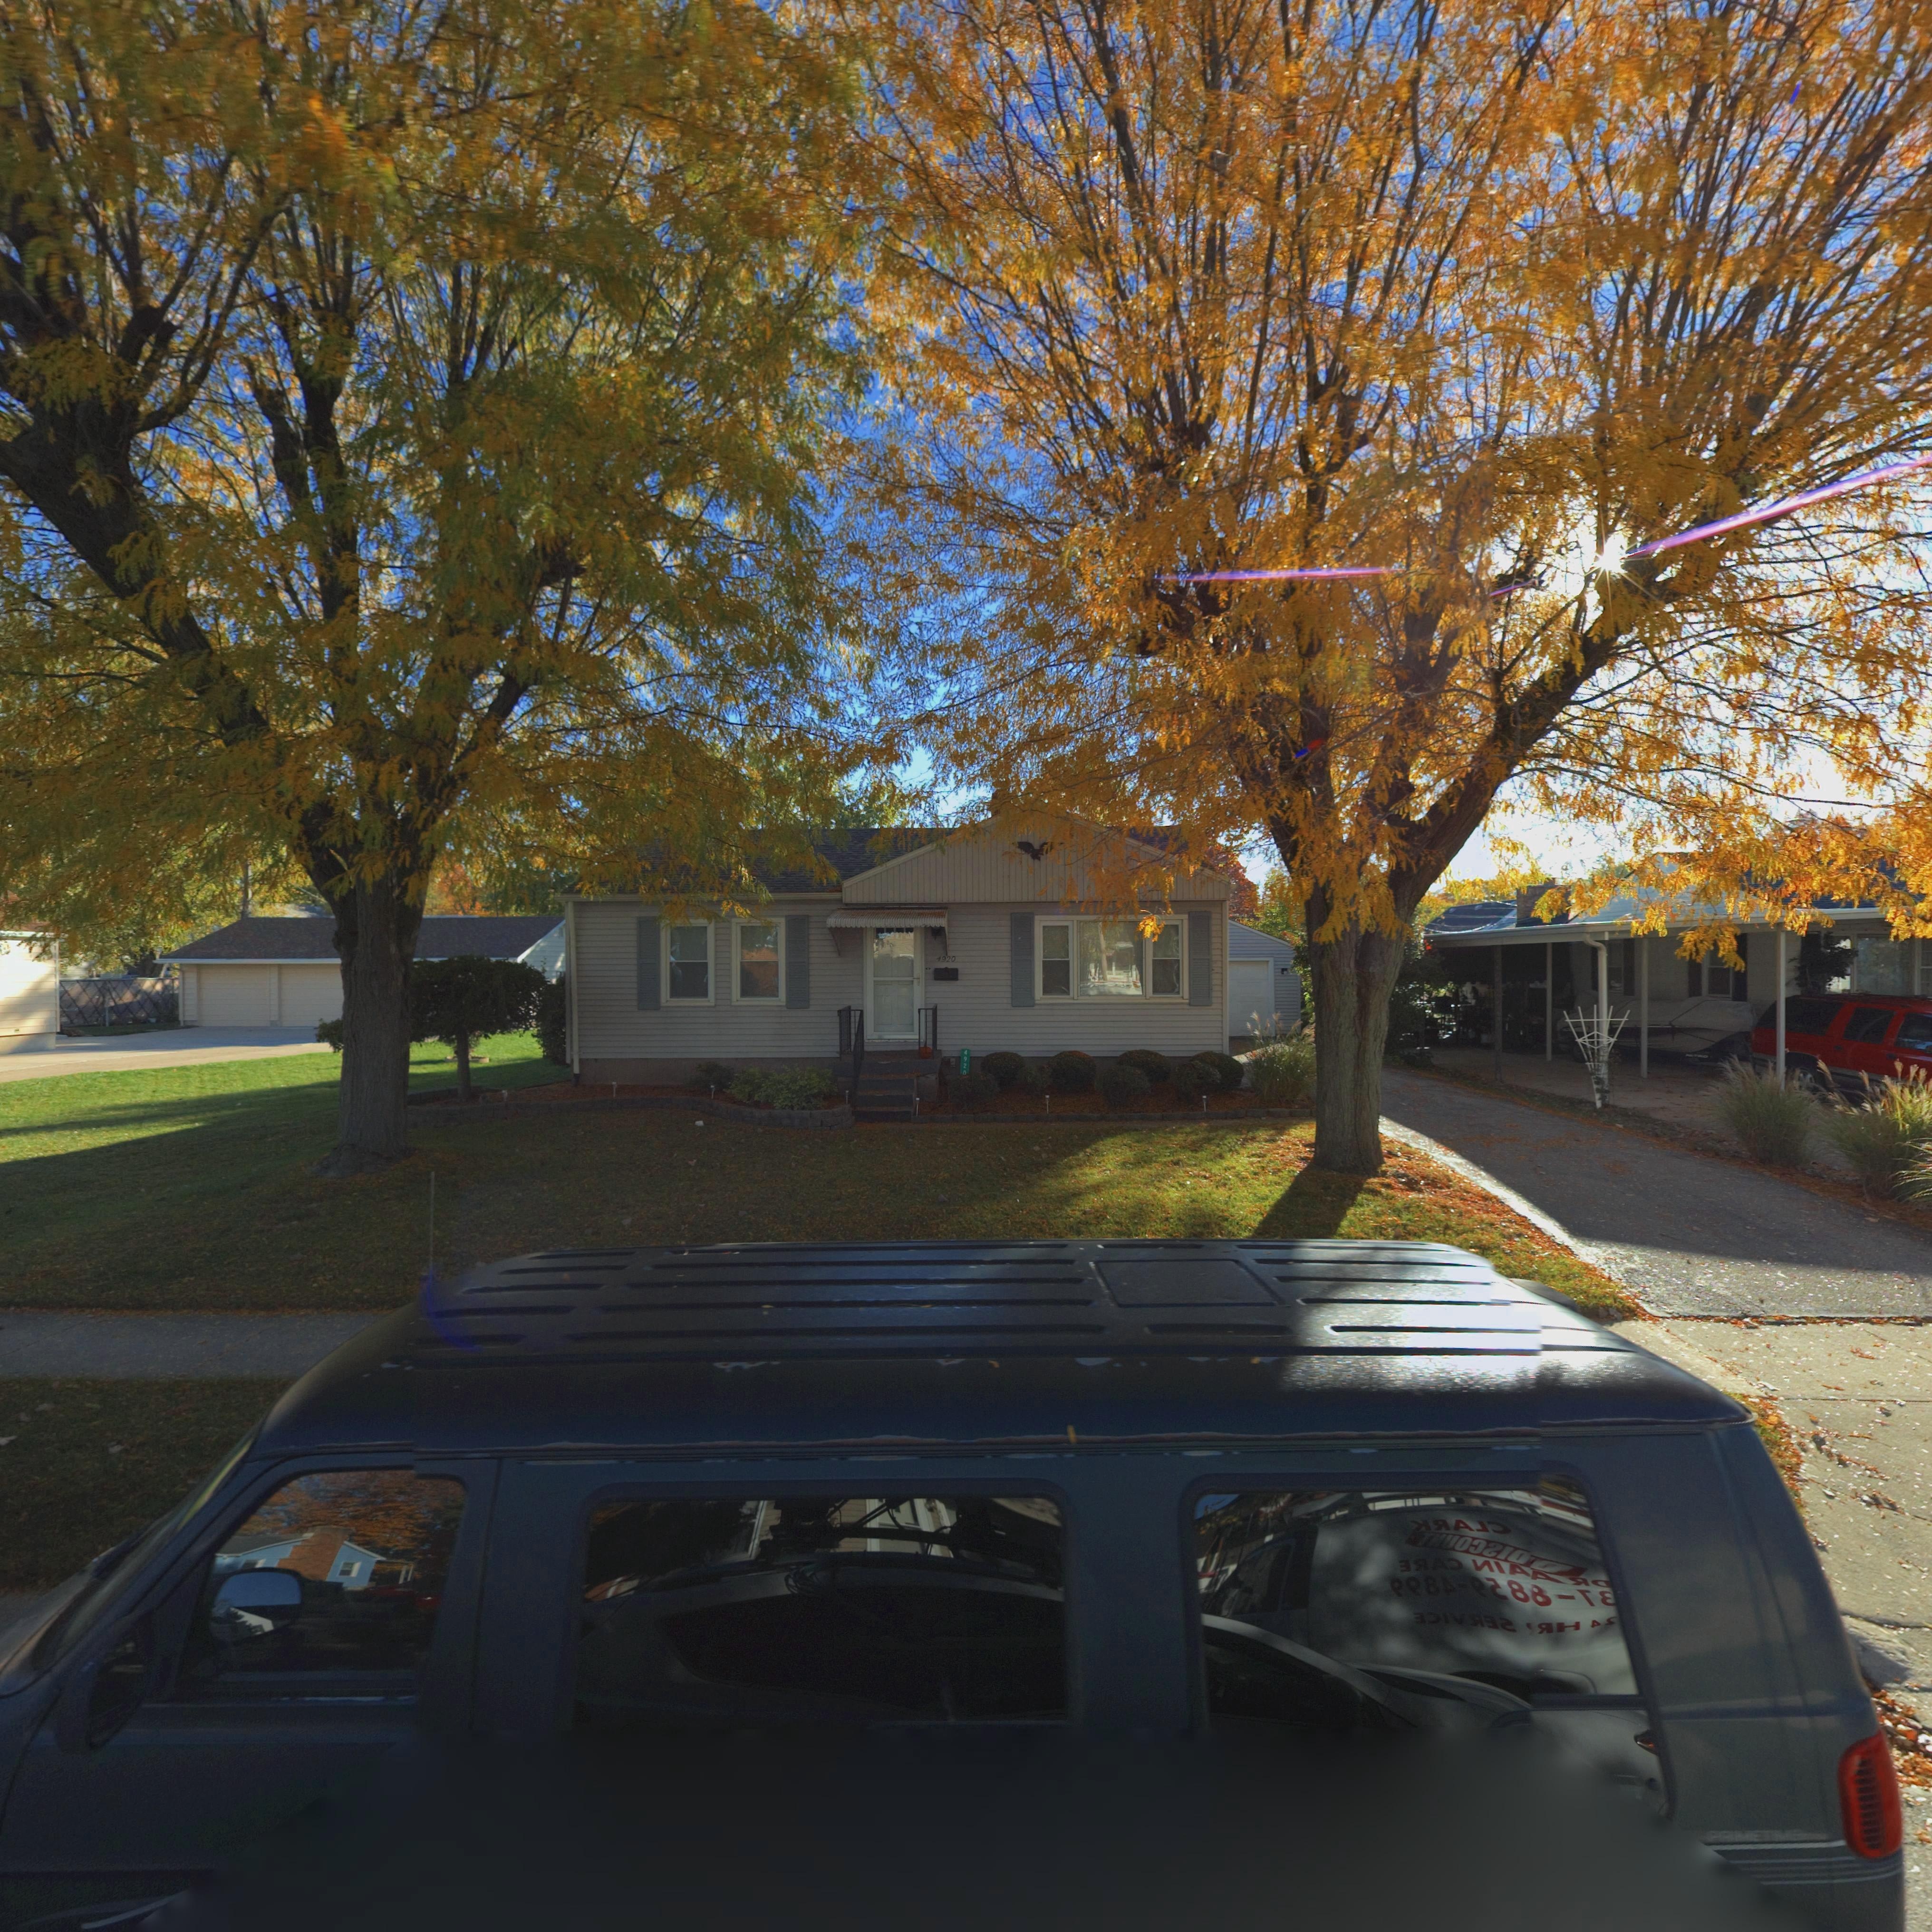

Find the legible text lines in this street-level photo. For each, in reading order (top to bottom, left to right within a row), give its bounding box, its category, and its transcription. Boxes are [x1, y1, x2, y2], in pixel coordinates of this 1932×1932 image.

[936, 955, 956, 963] StreetNumber: 4920
[962, 1048, 968, 1076] StreetNumber: 4920